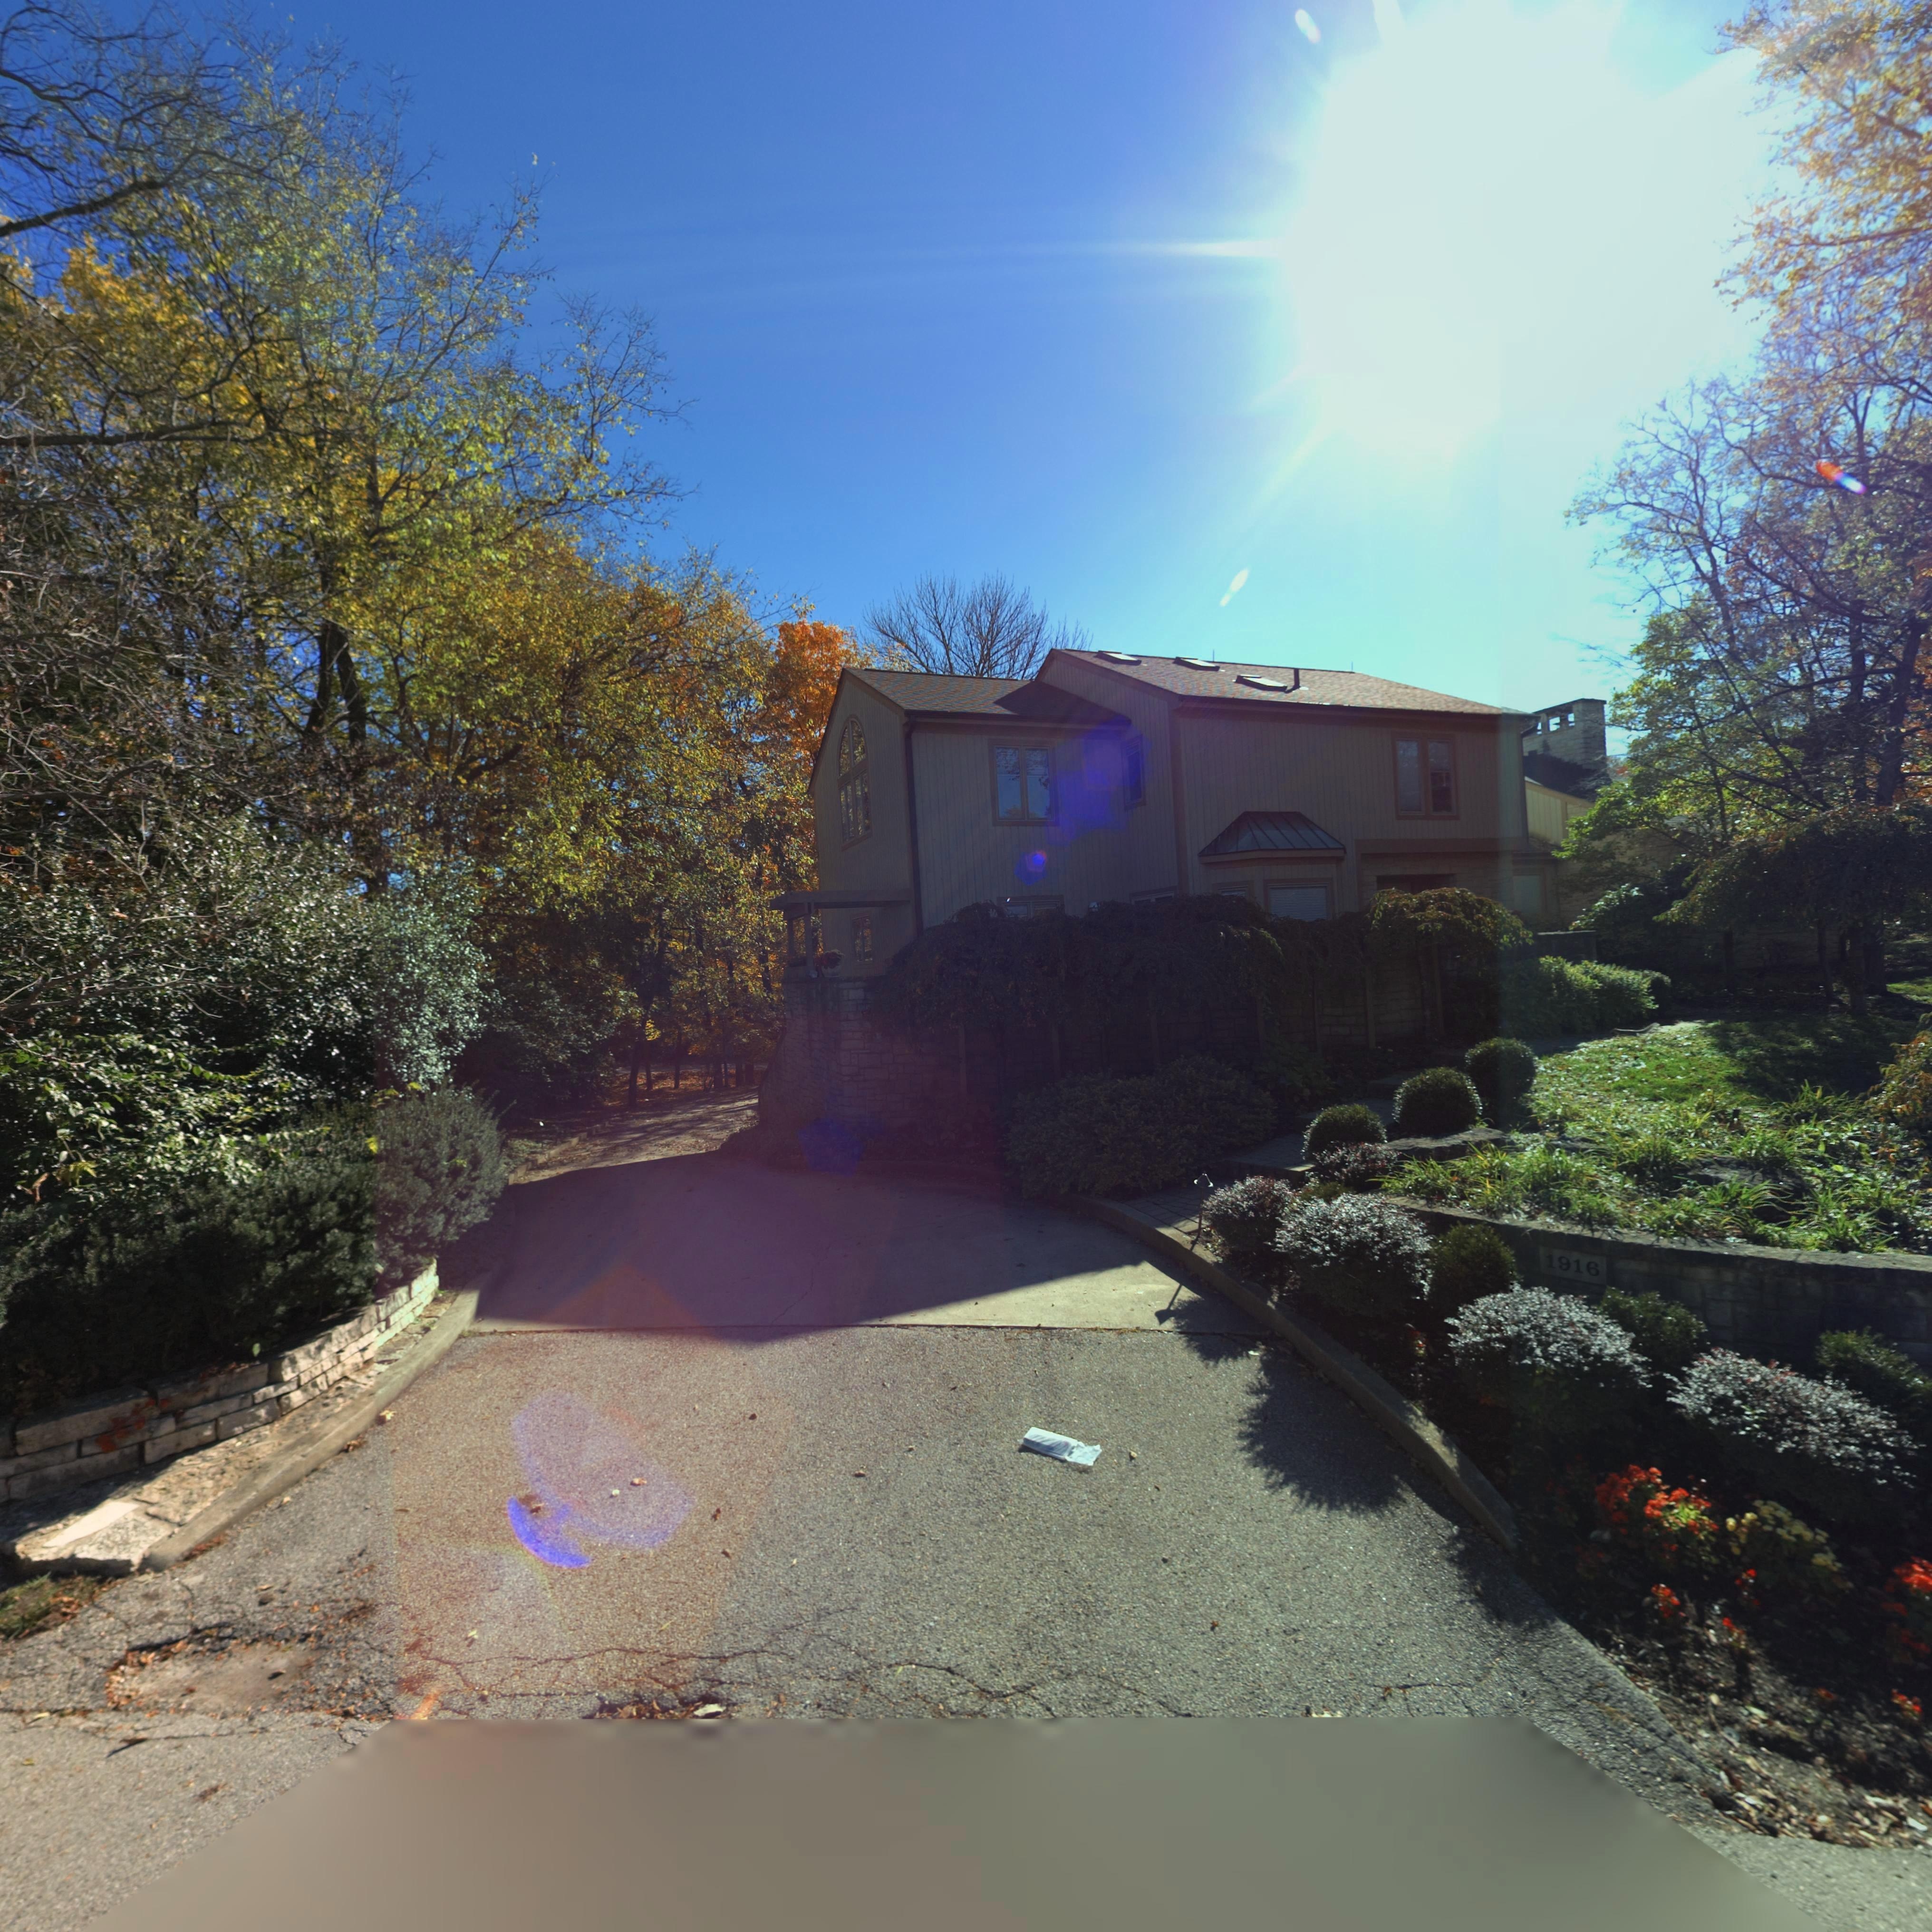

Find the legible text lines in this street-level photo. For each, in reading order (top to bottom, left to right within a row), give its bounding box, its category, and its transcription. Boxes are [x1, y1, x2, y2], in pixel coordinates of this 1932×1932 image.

[1544, 1252, 1601, 1278] StreetNumber: 1916